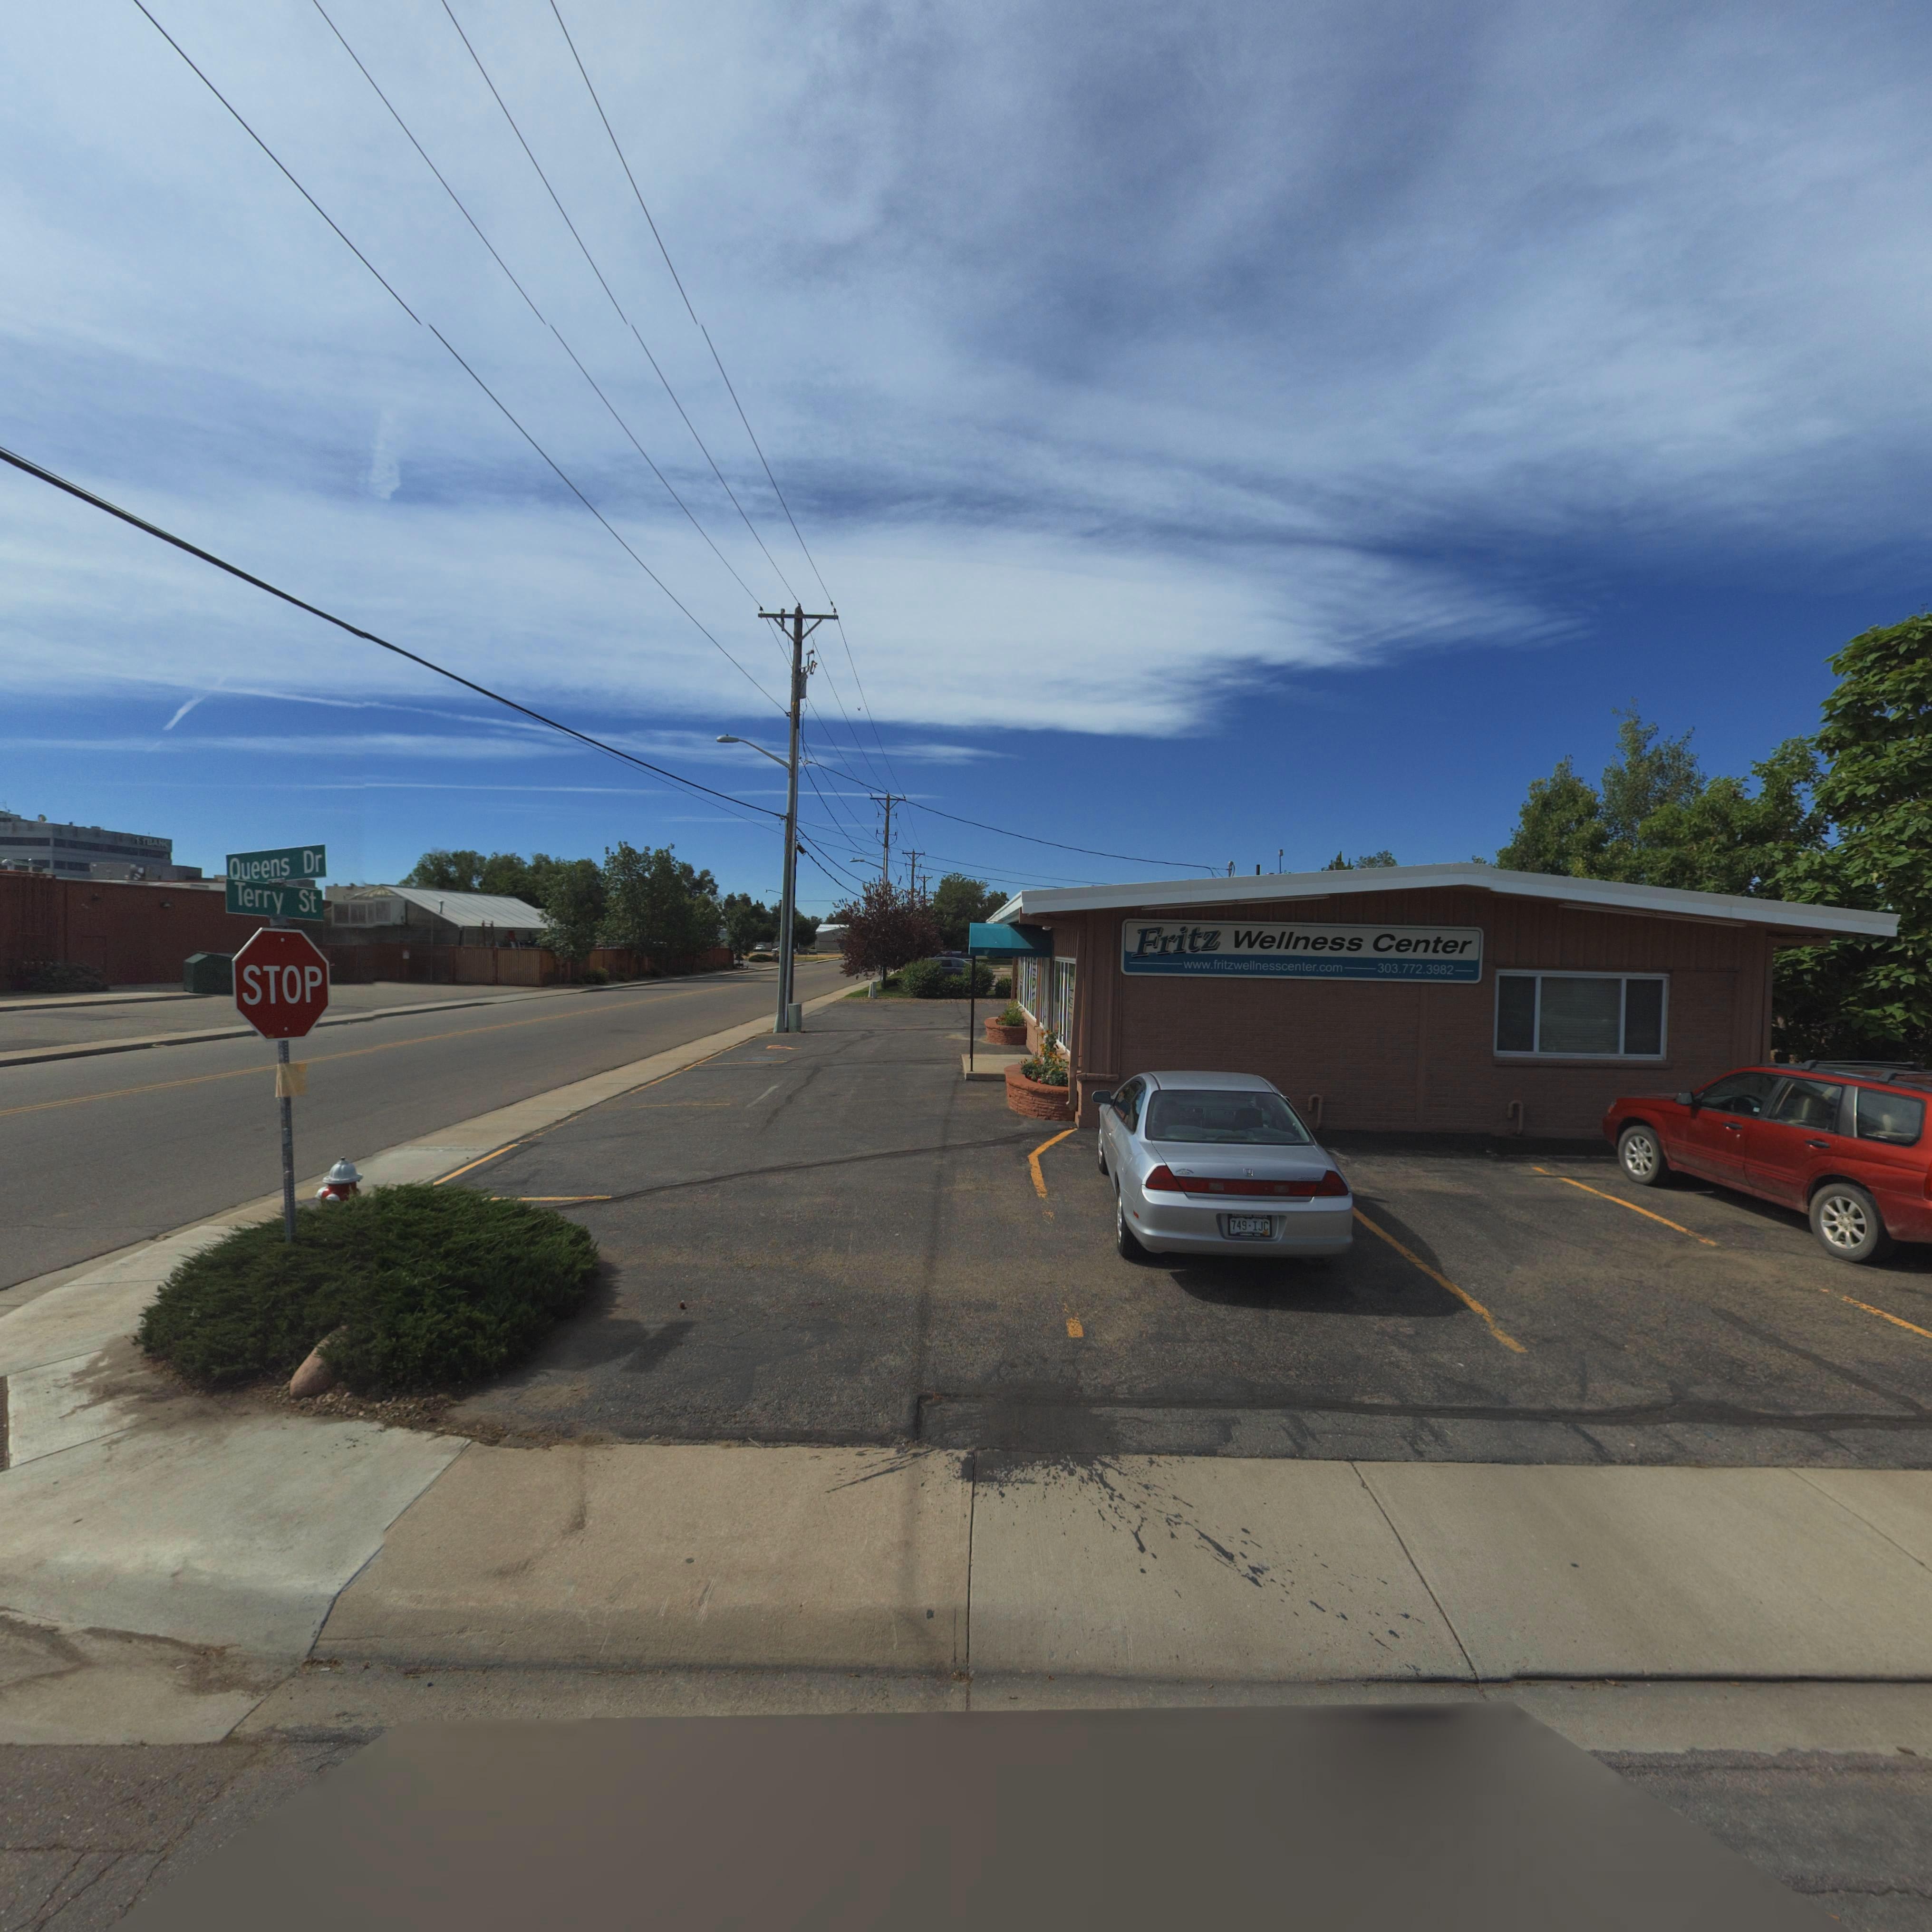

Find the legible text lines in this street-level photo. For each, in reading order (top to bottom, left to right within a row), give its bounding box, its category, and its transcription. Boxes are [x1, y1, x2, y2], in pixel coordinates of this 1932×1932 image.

[228, 849, 322, 881] StreetName: Queens Dr
[232, 880, 318, 916] StreetName: Terry St
[1130, 925, 1473, 958] BusinessName: Fritz Wellness Center